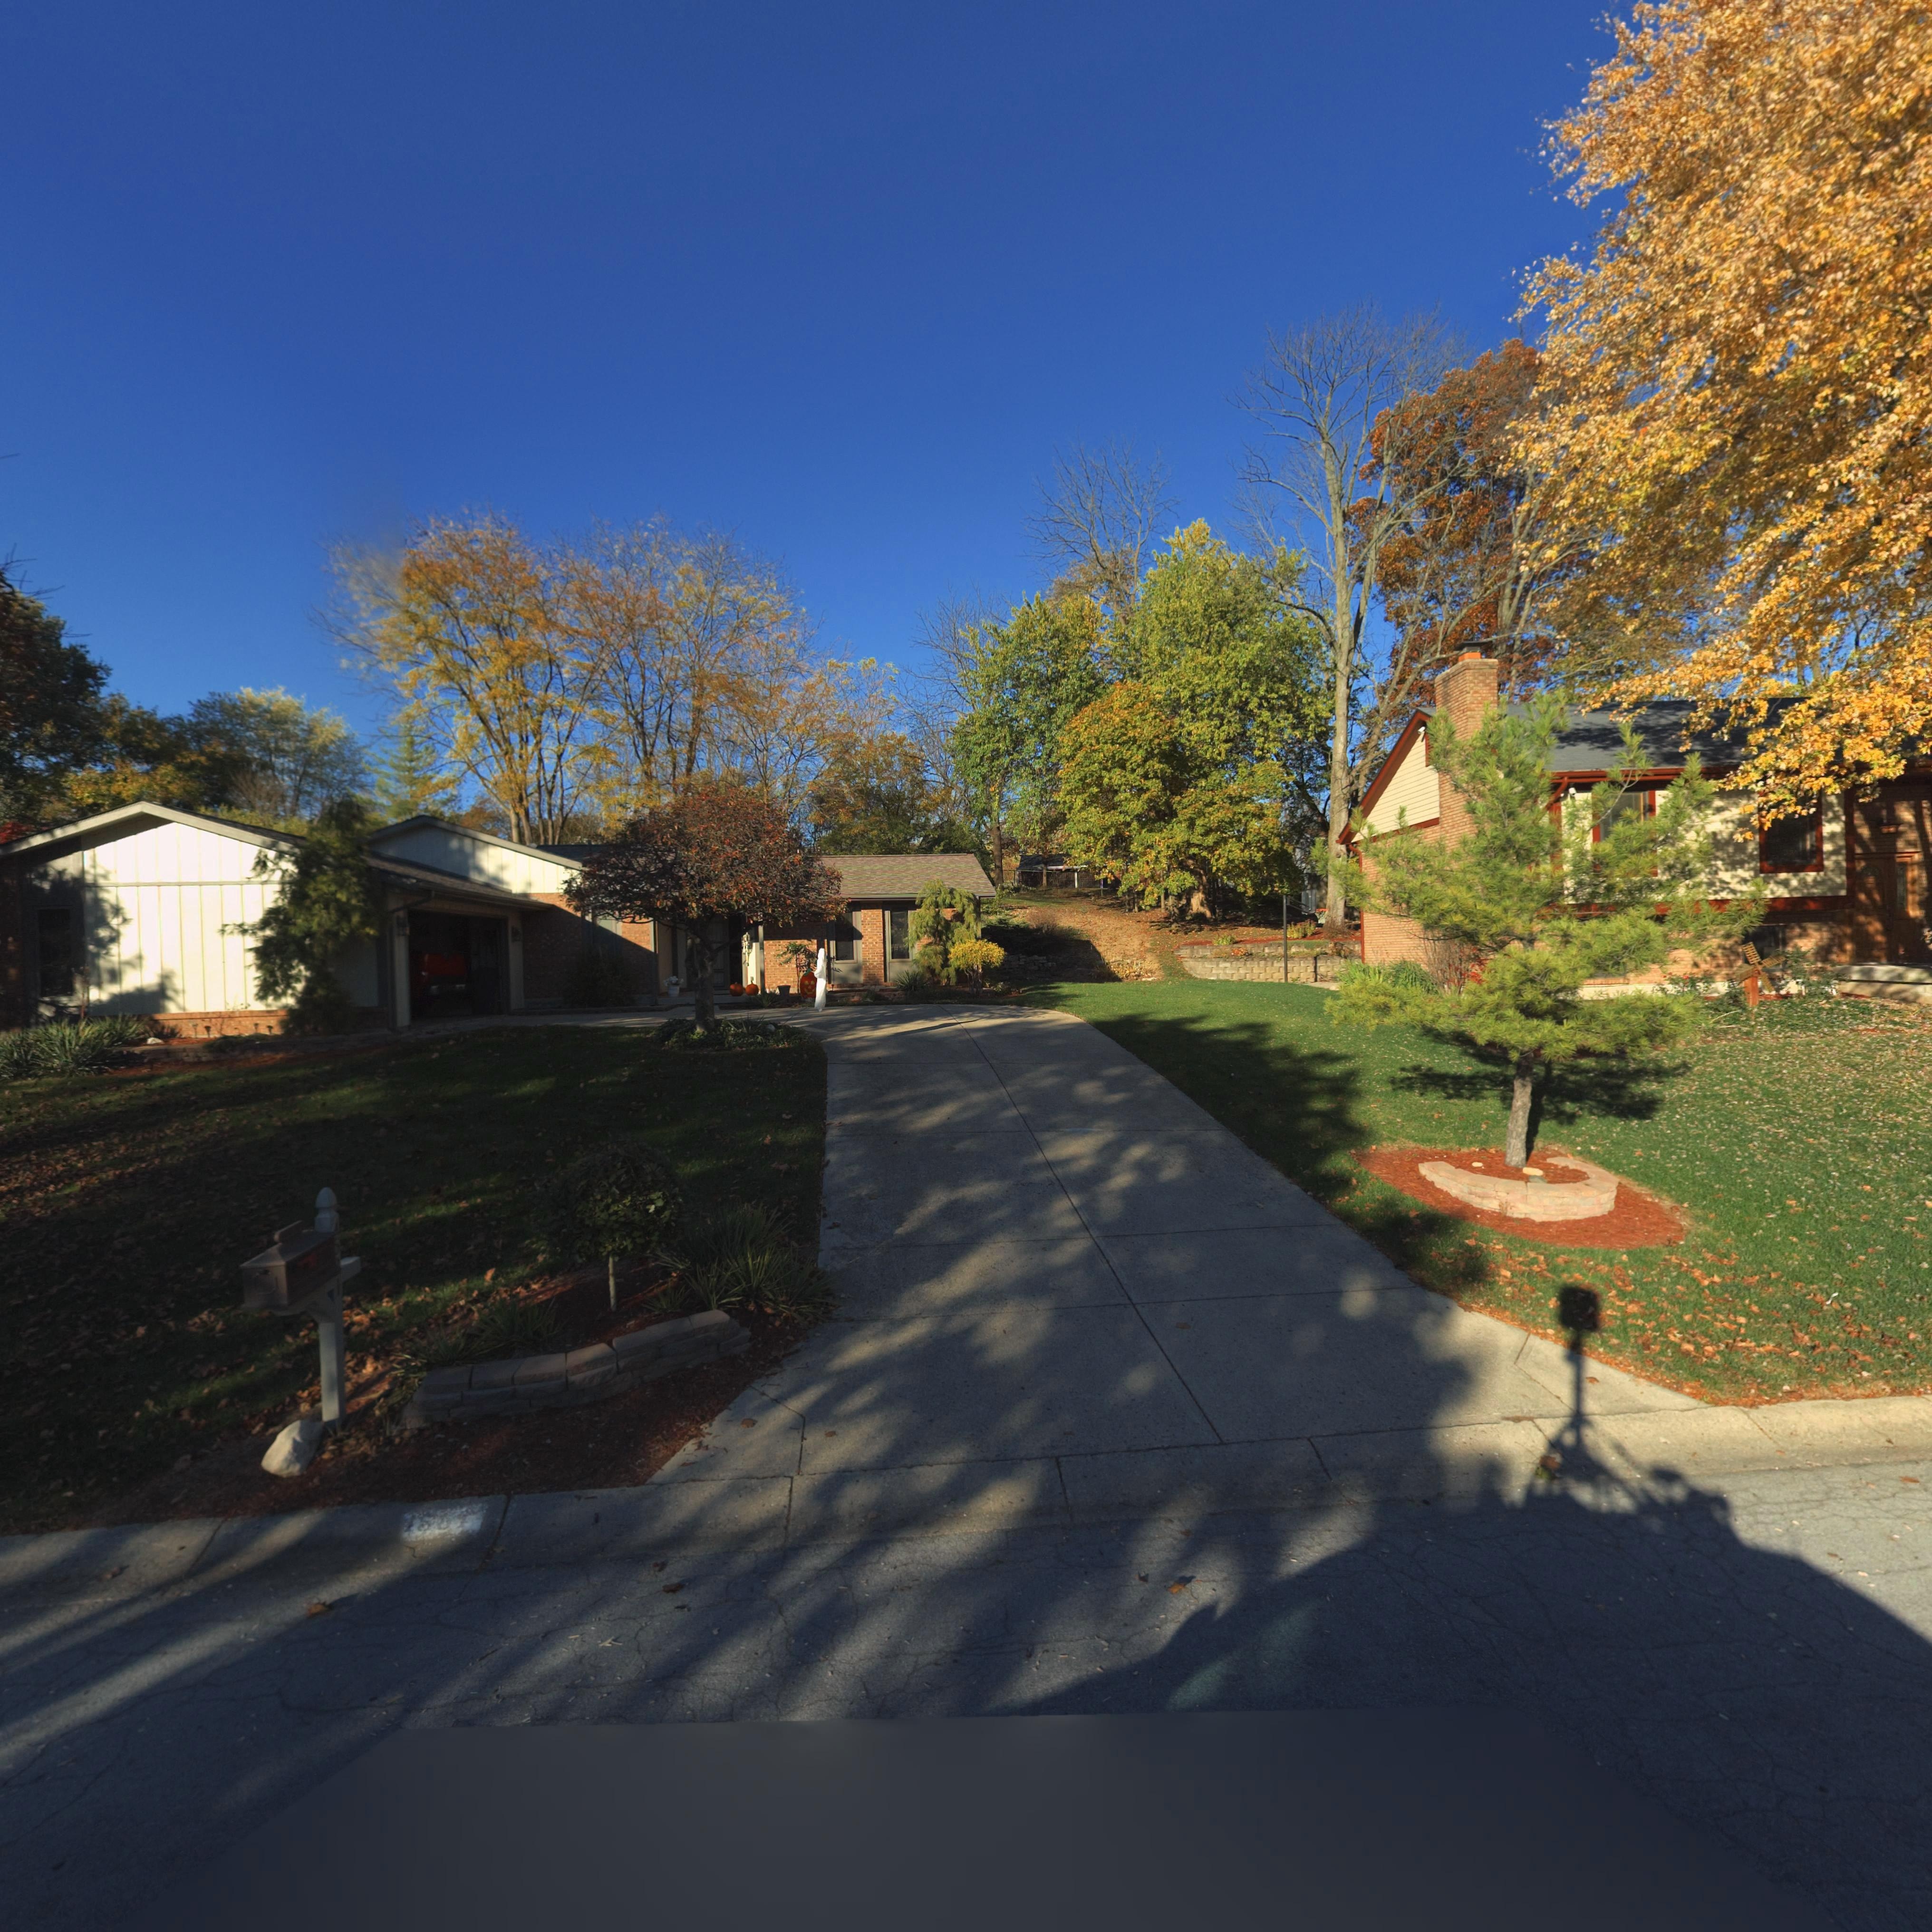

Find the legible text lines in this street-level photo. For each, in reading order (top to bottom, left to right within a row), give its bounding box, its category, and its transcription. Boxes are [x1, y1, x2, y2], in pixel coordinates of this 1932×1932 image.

[331, 1215, 342, 1298] StreetNumber: 4**1
[398, 1507, 472, 1534] StreetNumber: 45*1